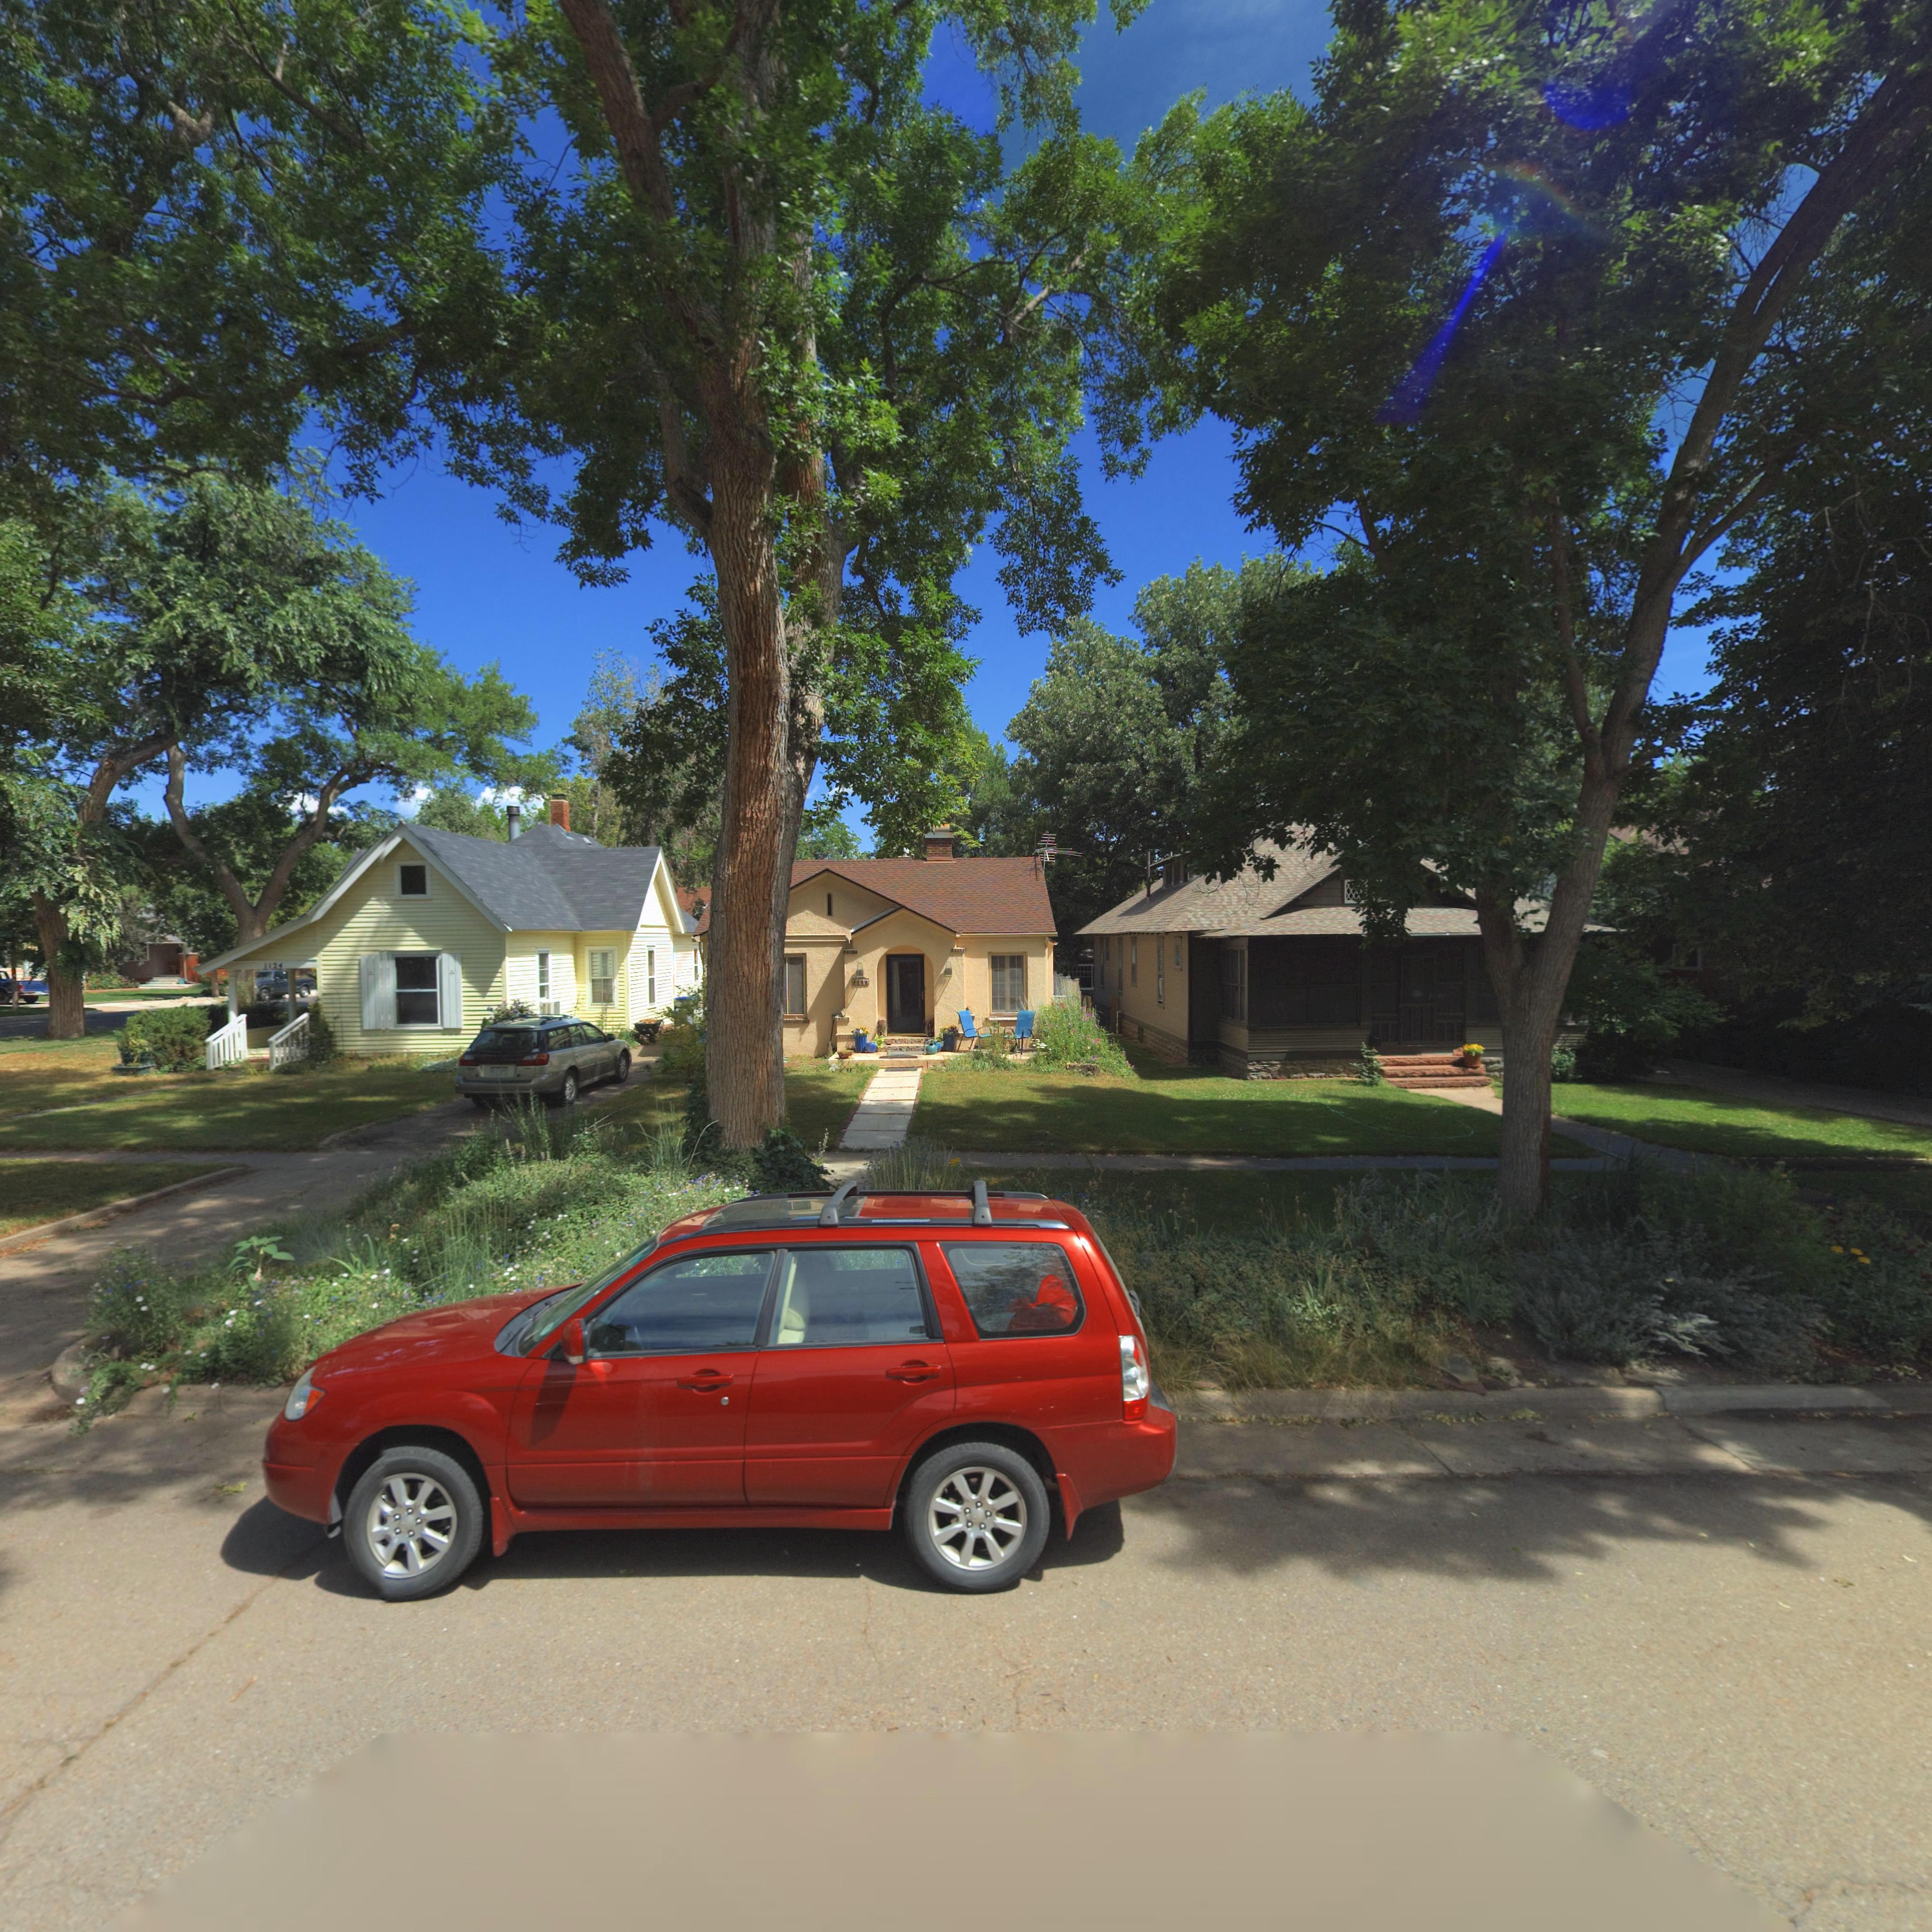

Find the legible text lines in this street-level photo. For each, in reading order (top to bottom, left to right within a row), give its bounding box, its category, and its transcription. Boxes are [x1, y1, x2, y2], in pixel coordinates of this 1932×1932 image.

[264, 962, 282, 968] StreetNumber: 1124
[853, 980, 868, 985] StreetNumber: 113*